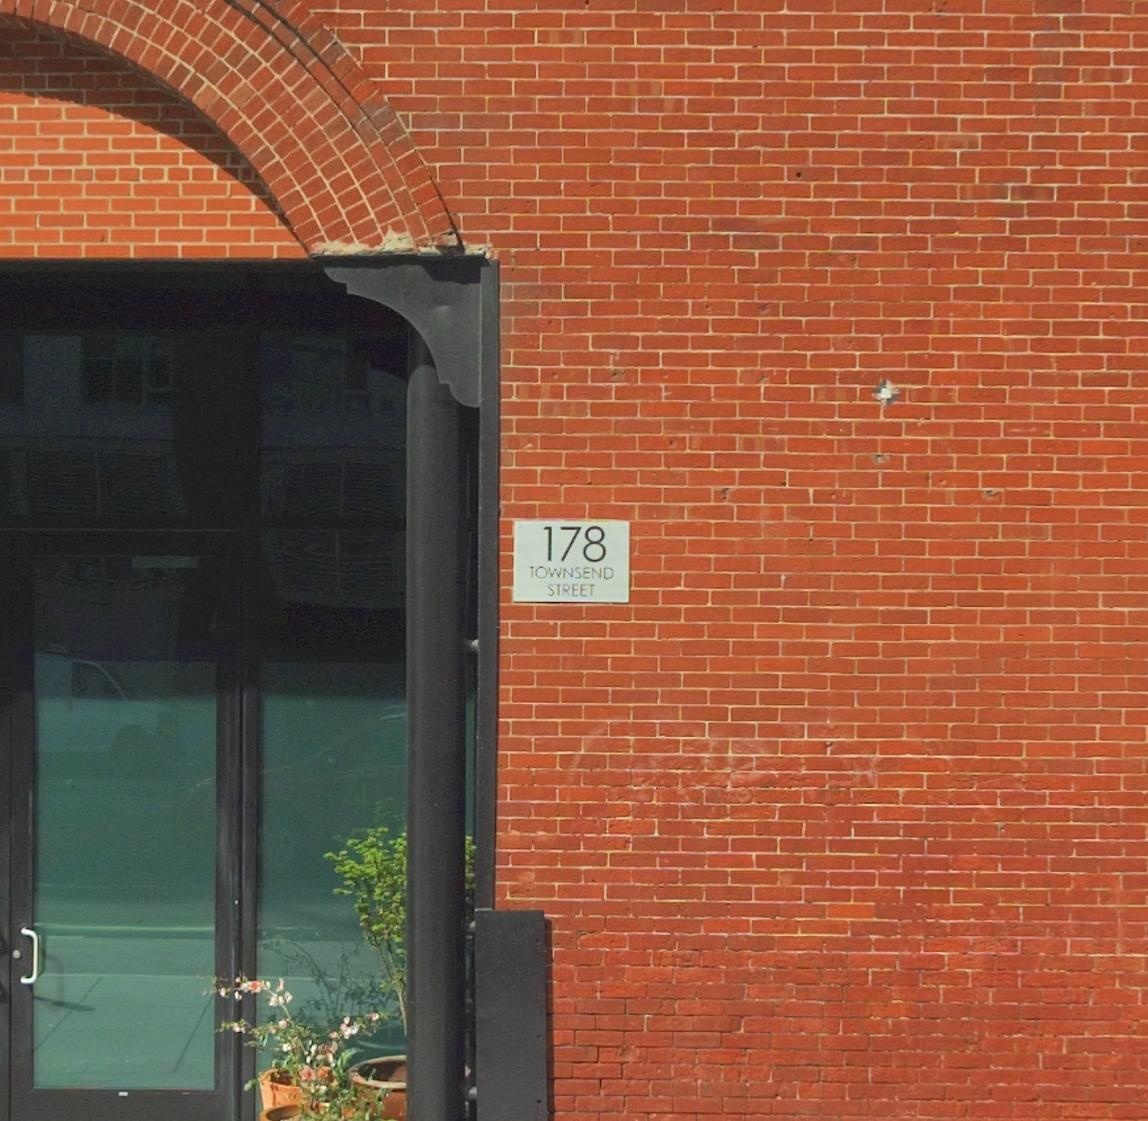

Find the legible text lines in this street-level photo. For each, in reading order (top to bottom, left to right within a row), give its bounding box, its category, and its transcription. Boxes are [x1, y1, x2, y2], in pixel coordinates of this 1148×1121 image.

[539, 520, 611, 569] StreetNumber: 178
[525, 561, 619, 585] StreetName: TOWNSEND
[542, 579, 600, 601] StreetName: STREET